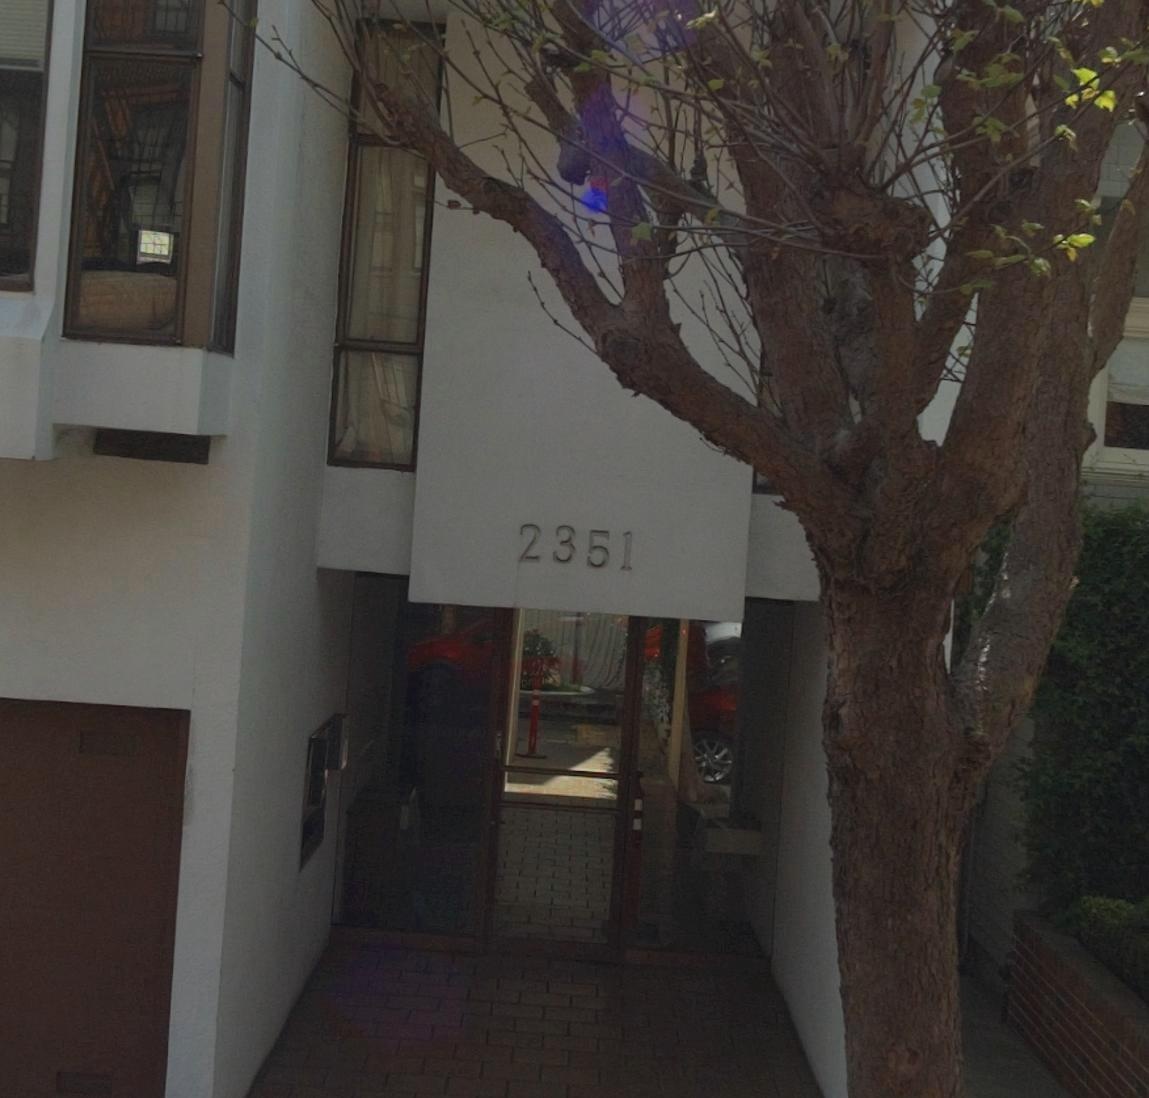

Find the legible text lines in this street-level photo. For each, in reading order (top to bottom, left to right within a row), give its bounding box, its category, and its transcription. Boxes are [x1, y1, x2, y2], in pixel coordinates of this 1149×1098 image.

[514, 520, 635, 574] StreetNumber: 2351